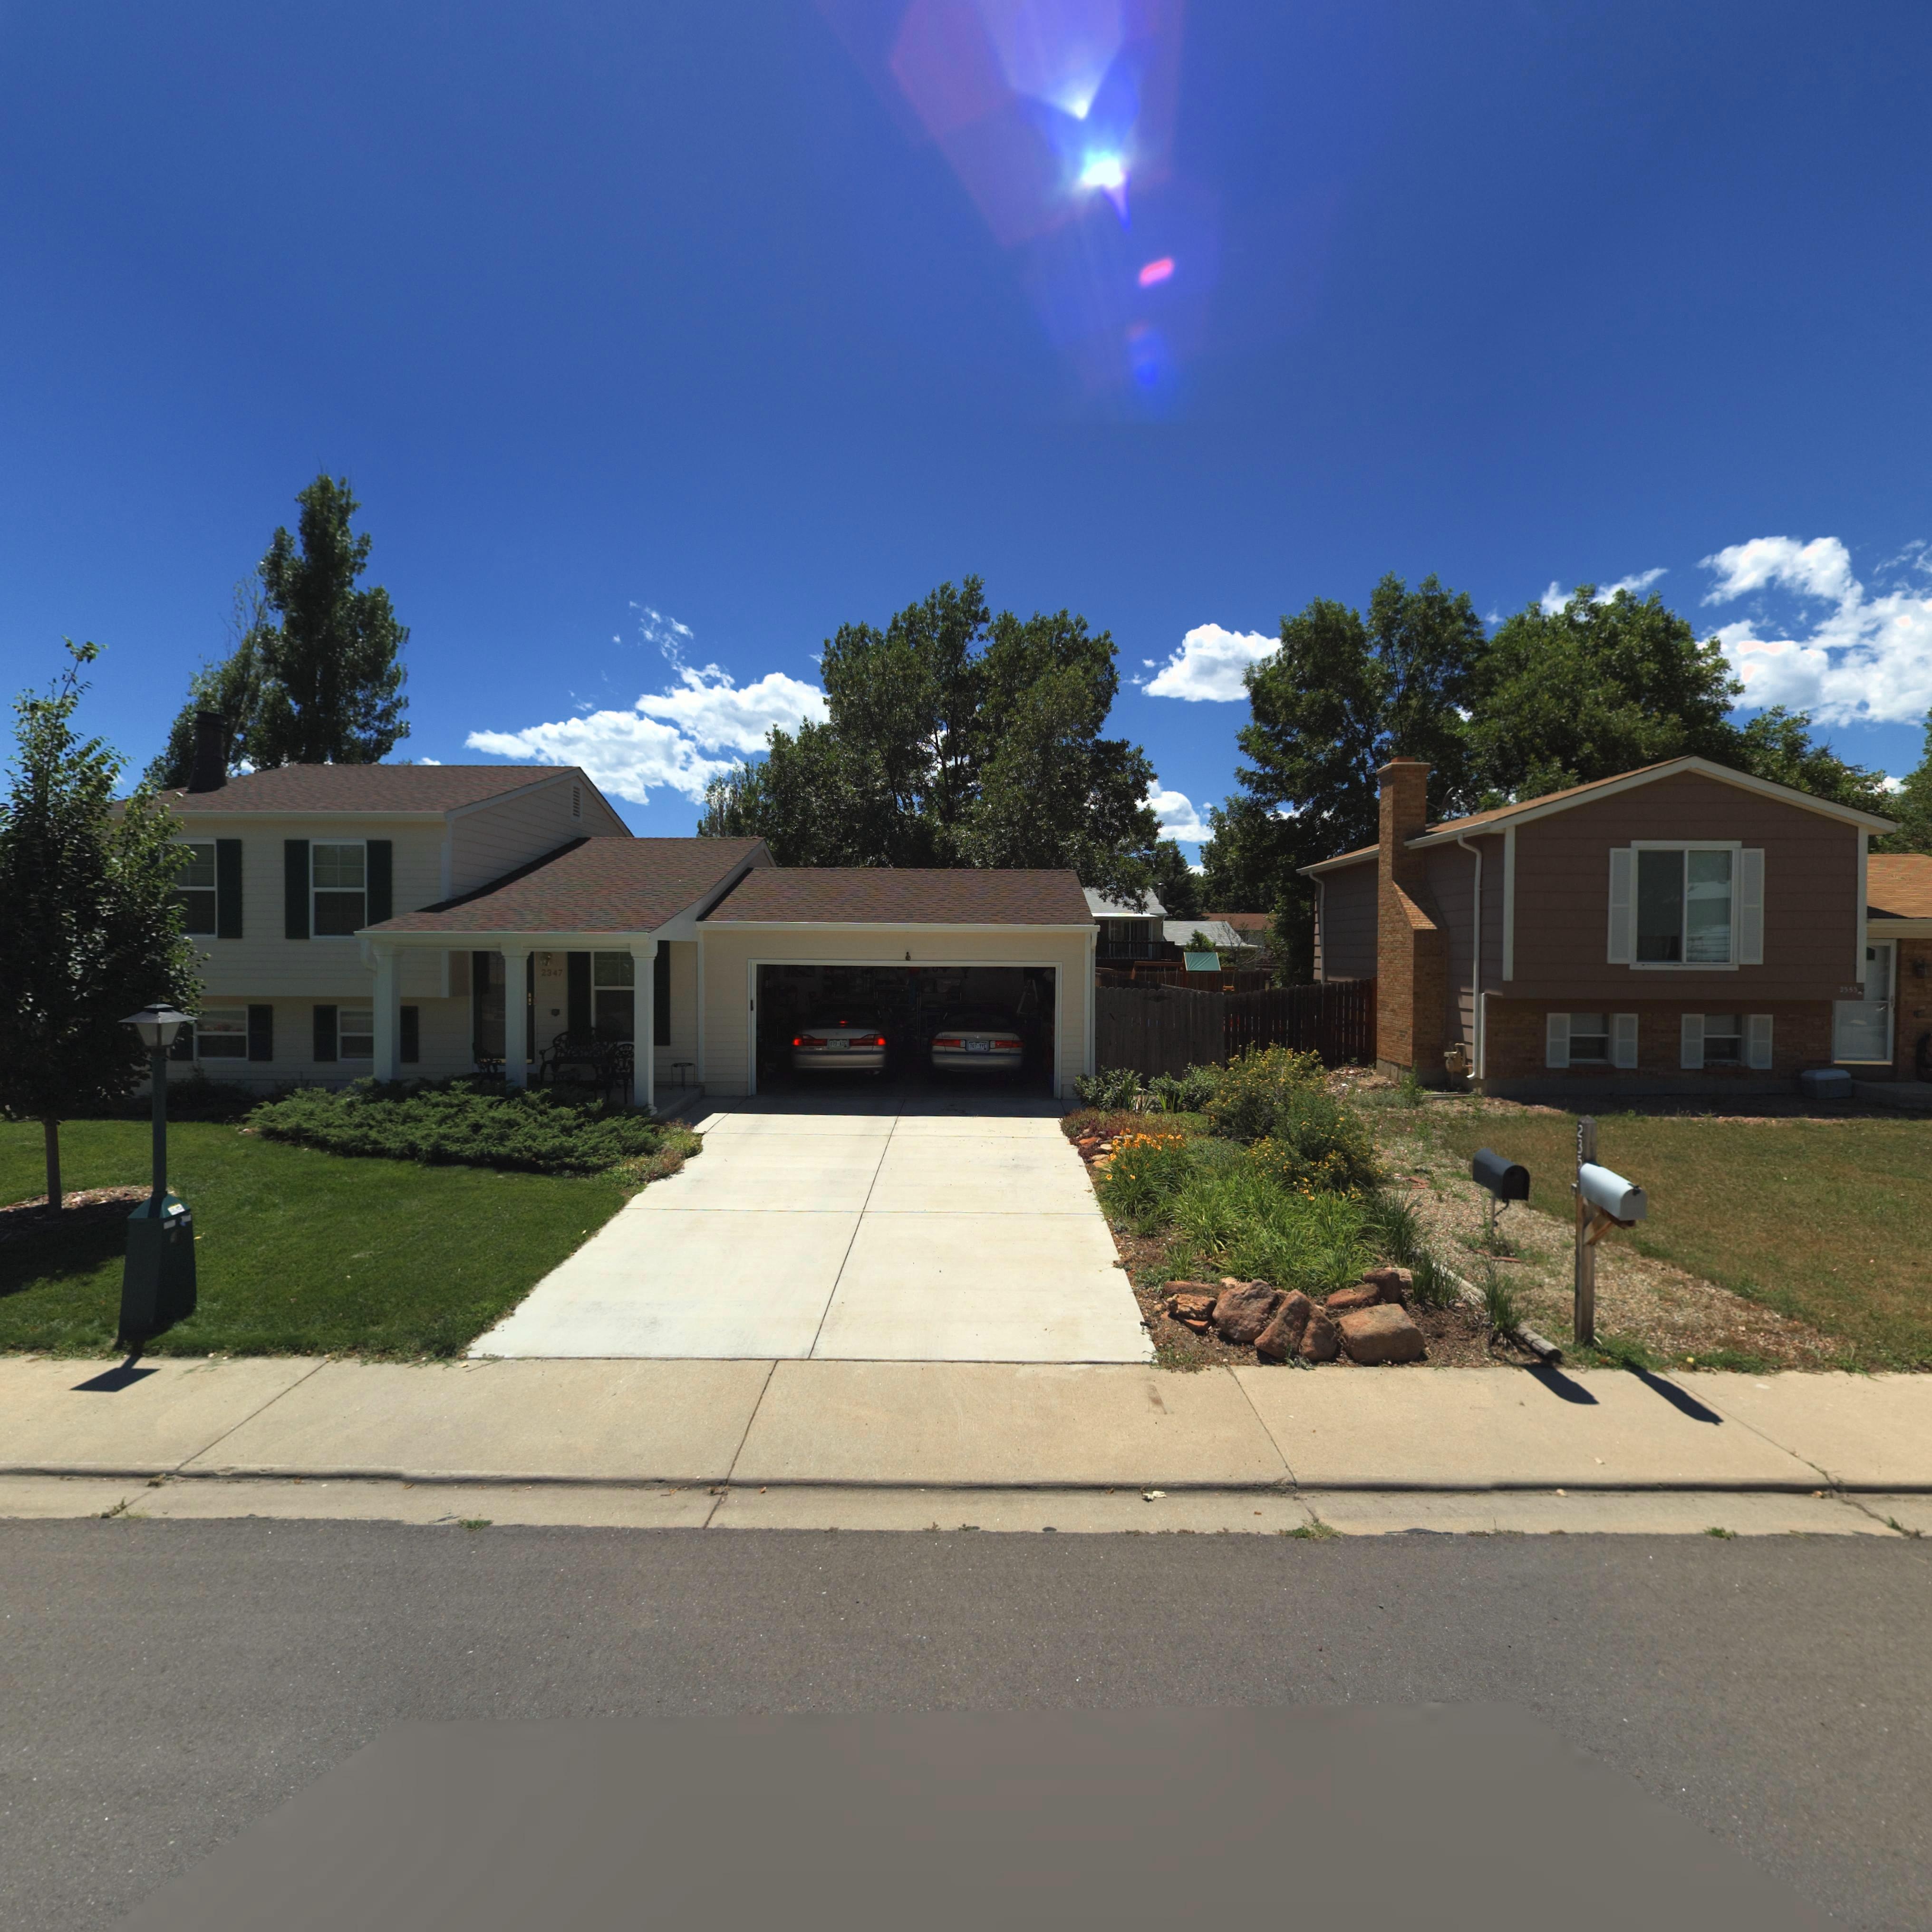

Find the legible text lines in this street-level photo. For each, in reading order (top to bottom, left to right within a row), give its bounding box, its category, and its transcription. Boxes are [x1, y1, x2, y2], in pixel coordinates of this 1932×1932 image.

[541, 969, 563, 976] StreetNumber: 2347
[1839, 985, 1858, 993] StreetNumber: **53
[1576, 1123, 1583, 1183] StreetNumber: 235*